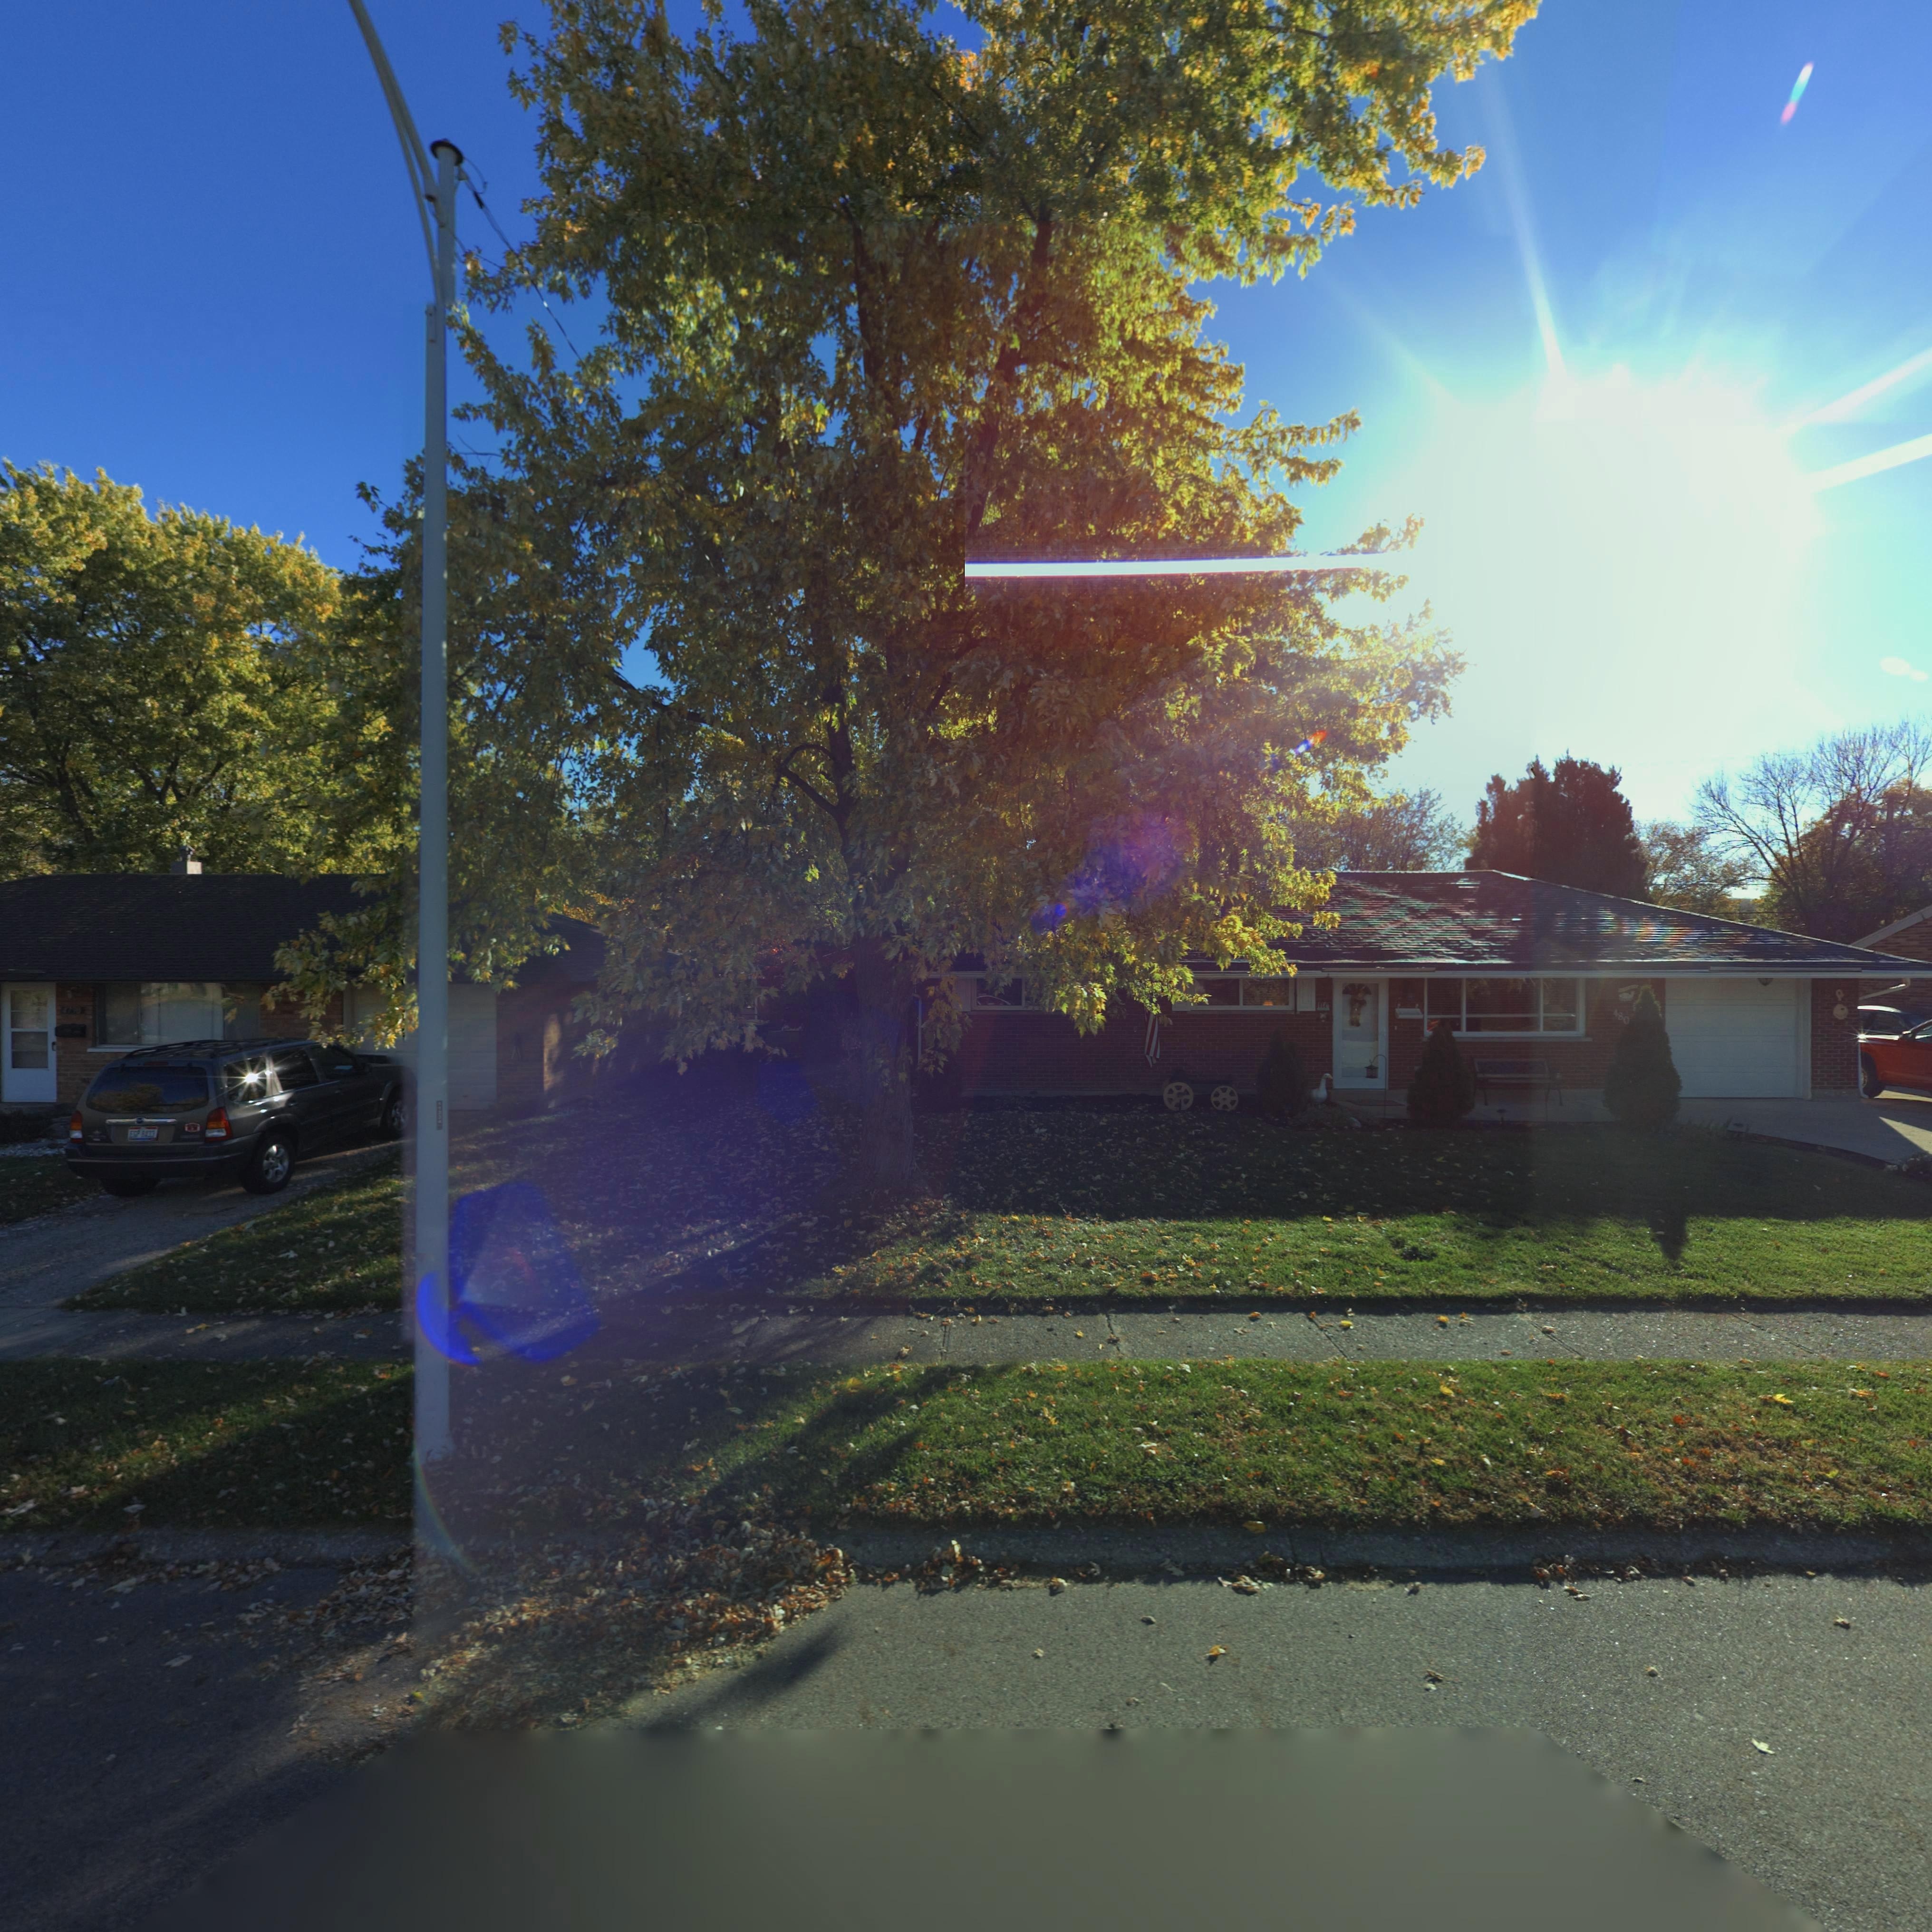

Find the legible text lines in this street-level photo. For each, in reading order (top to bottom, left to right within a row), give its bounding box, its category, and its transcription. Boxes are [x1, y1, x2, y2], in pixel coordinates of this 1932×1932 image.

[62, 1007, 81, 1014] StreetNumber: 4790
[1613, 1008, 1631, 1026] StreetNumber: 480